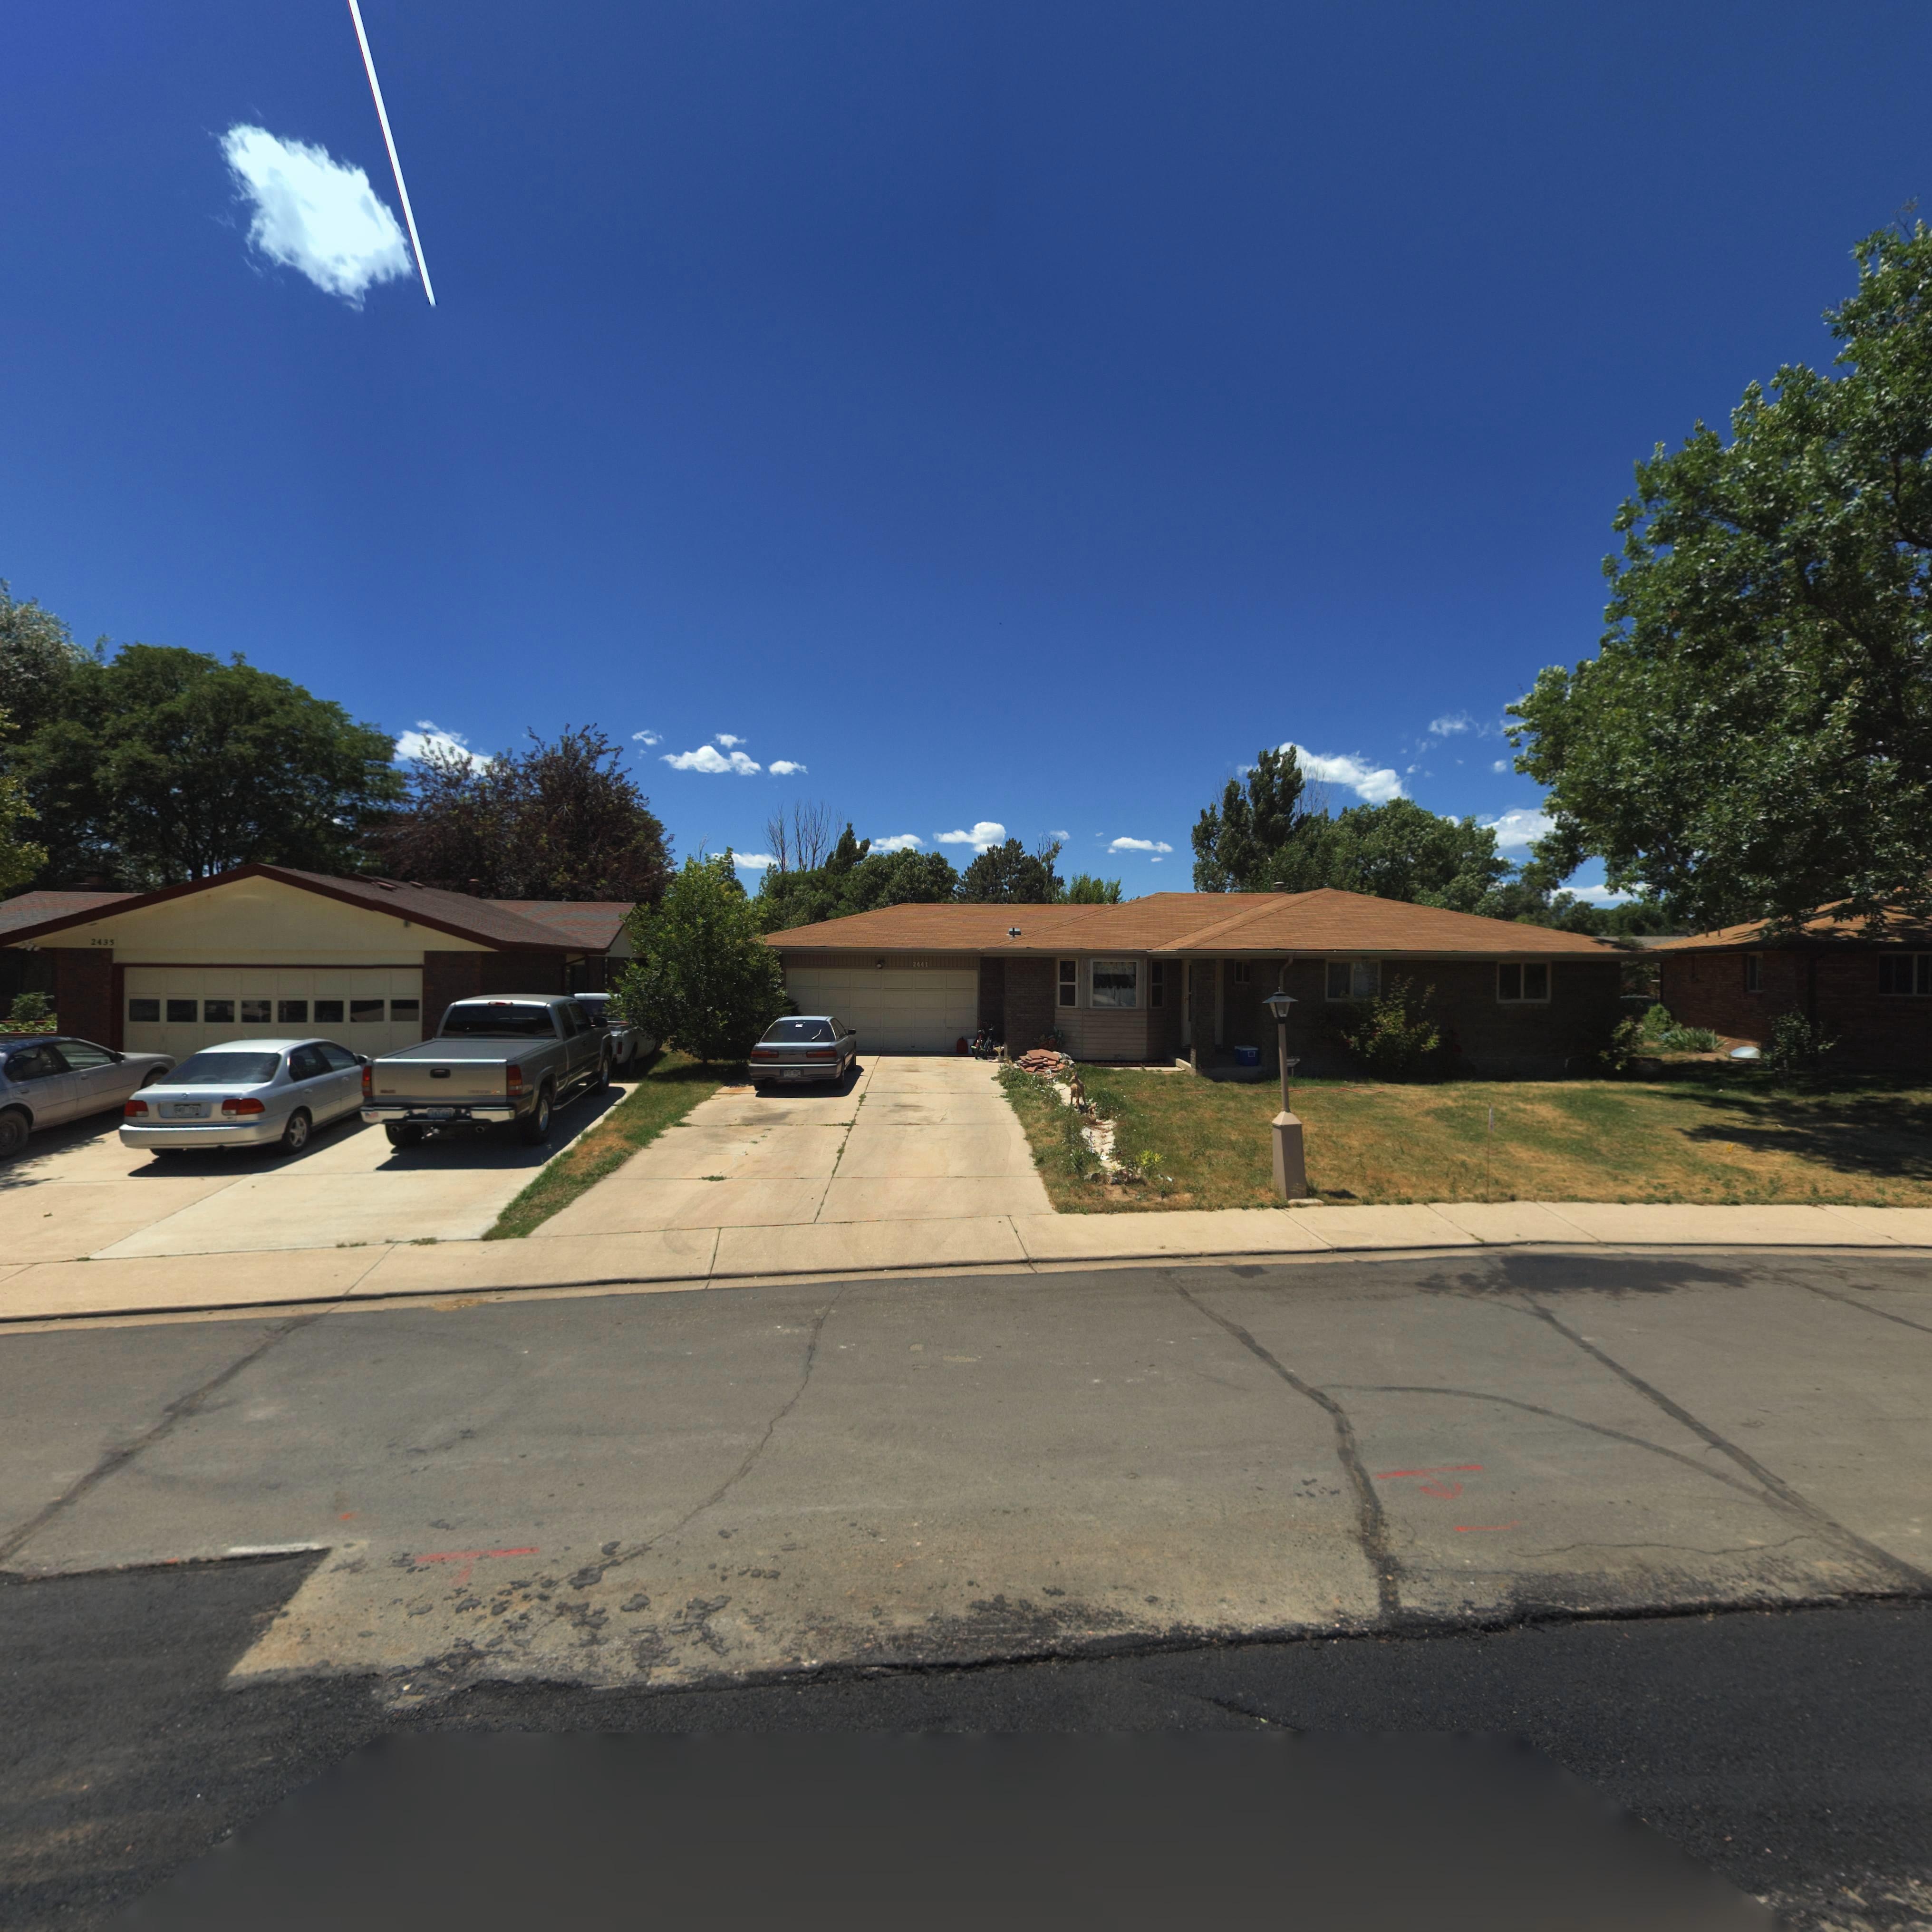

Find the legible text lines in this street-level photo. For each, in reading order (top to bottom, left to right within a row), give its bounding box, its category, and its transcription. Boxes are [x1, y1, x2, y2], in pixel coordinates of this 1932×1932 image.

[90, 937, 115, 946] StreetNumber: 2435
[911, 960, 929, 967] StreetNumber: 2441